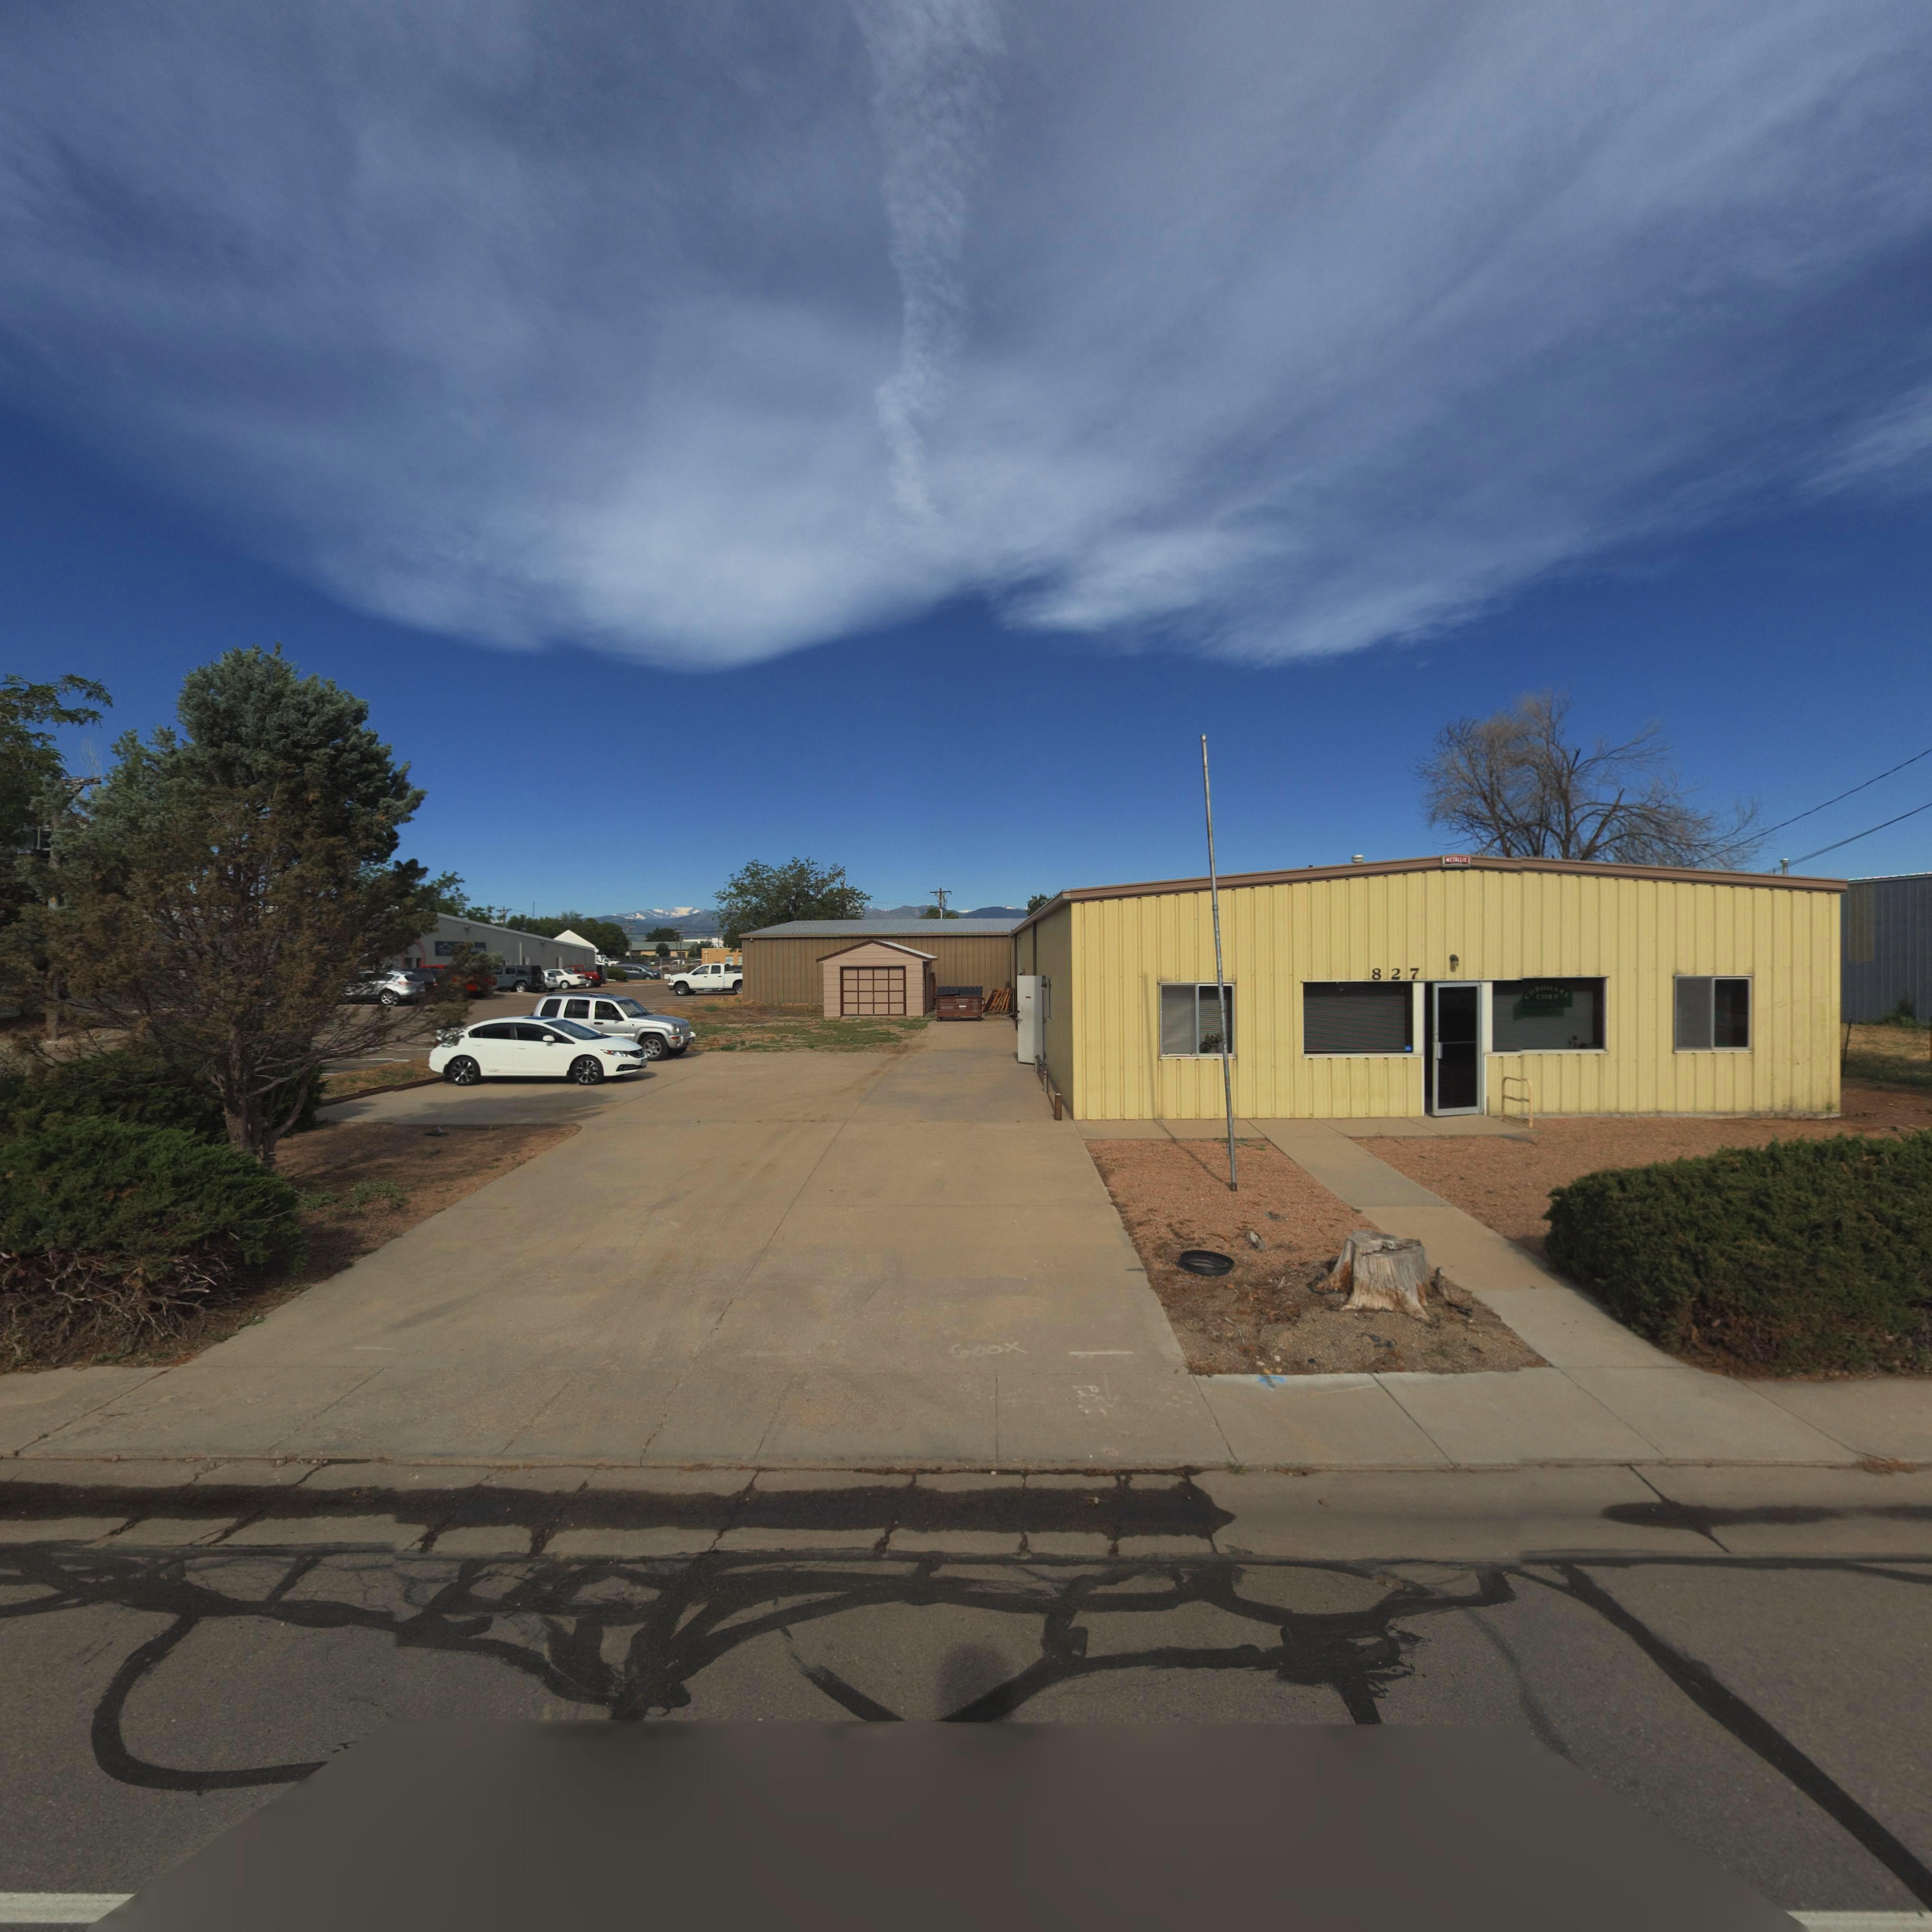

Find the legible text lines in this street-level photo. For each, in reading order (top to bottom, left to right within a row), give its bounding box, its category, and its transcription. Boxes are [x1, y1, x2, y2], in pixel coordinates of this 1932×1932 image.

[1370, 965, 1420, 981] StreetNumber: 827
[1523, 985, 1572, 1001] BusinessName: CHROMARK
[1535, 993, 1560, 1000] BusinessName: CORP